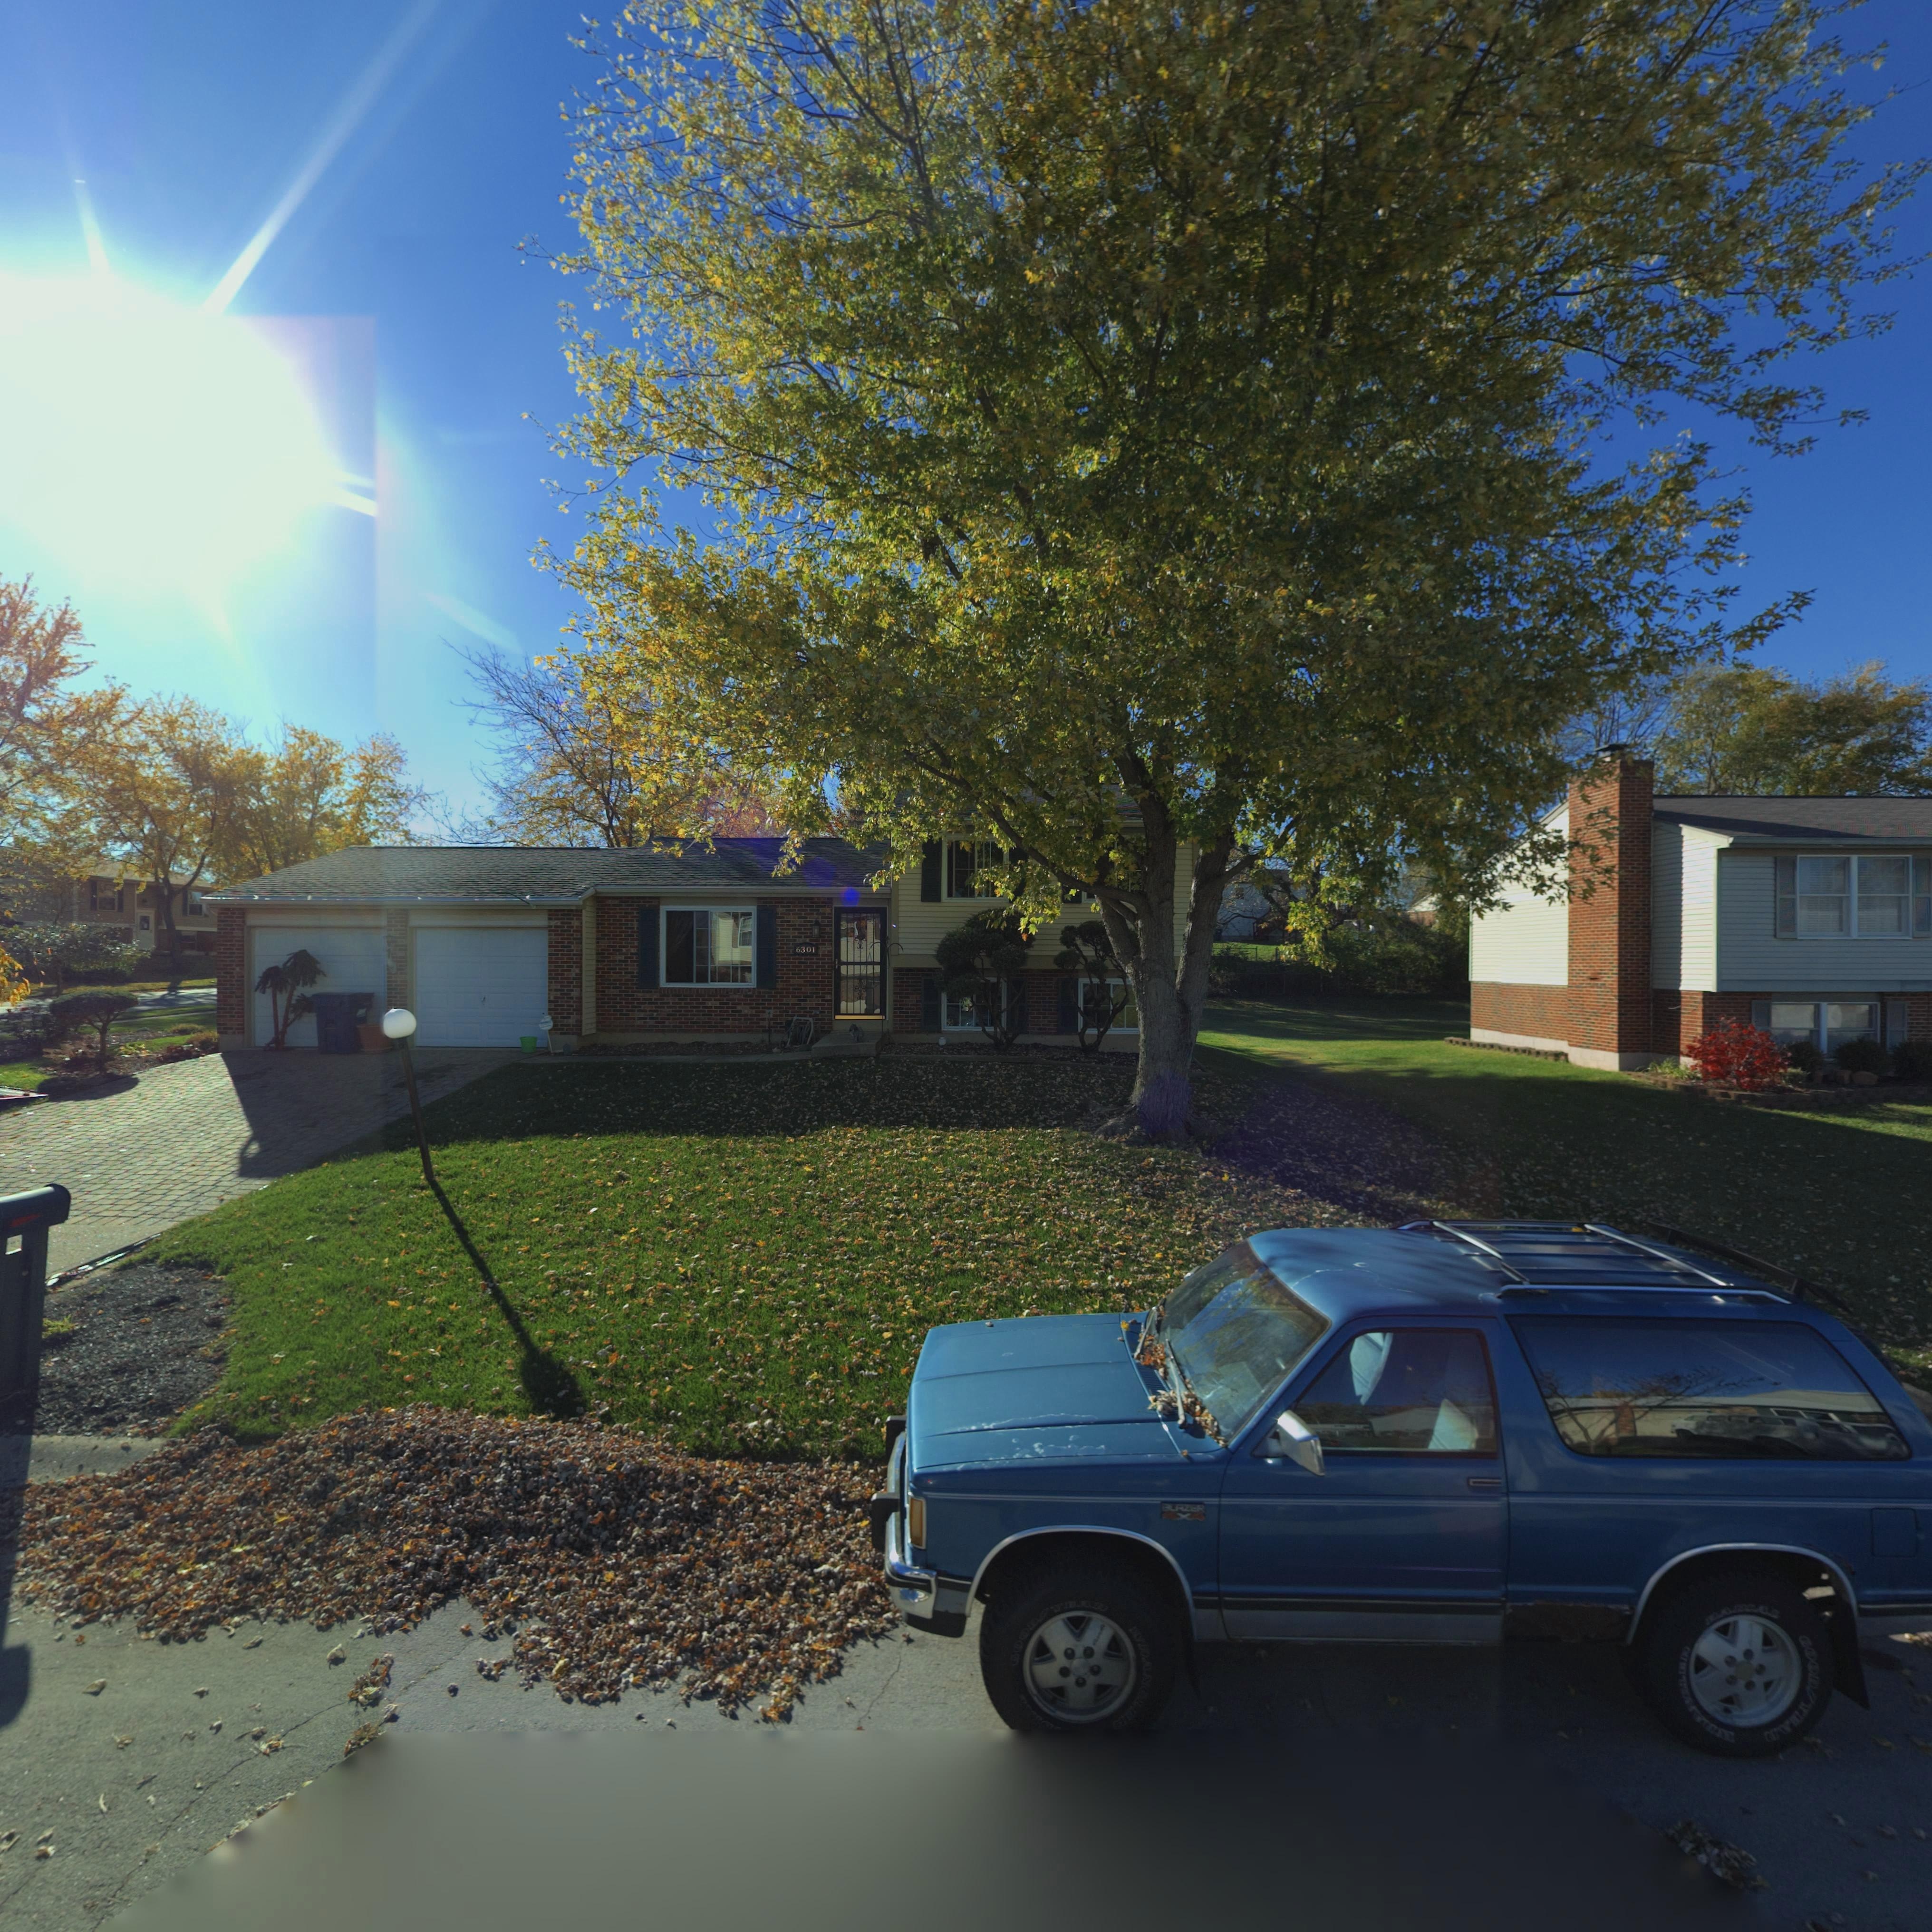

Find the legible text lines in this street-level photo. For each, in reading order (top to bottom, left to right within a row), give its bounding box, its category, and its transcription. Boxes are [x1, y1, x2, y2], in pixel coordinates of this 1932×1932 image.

[795, 945, 816, 954] StreetNumber: 6301